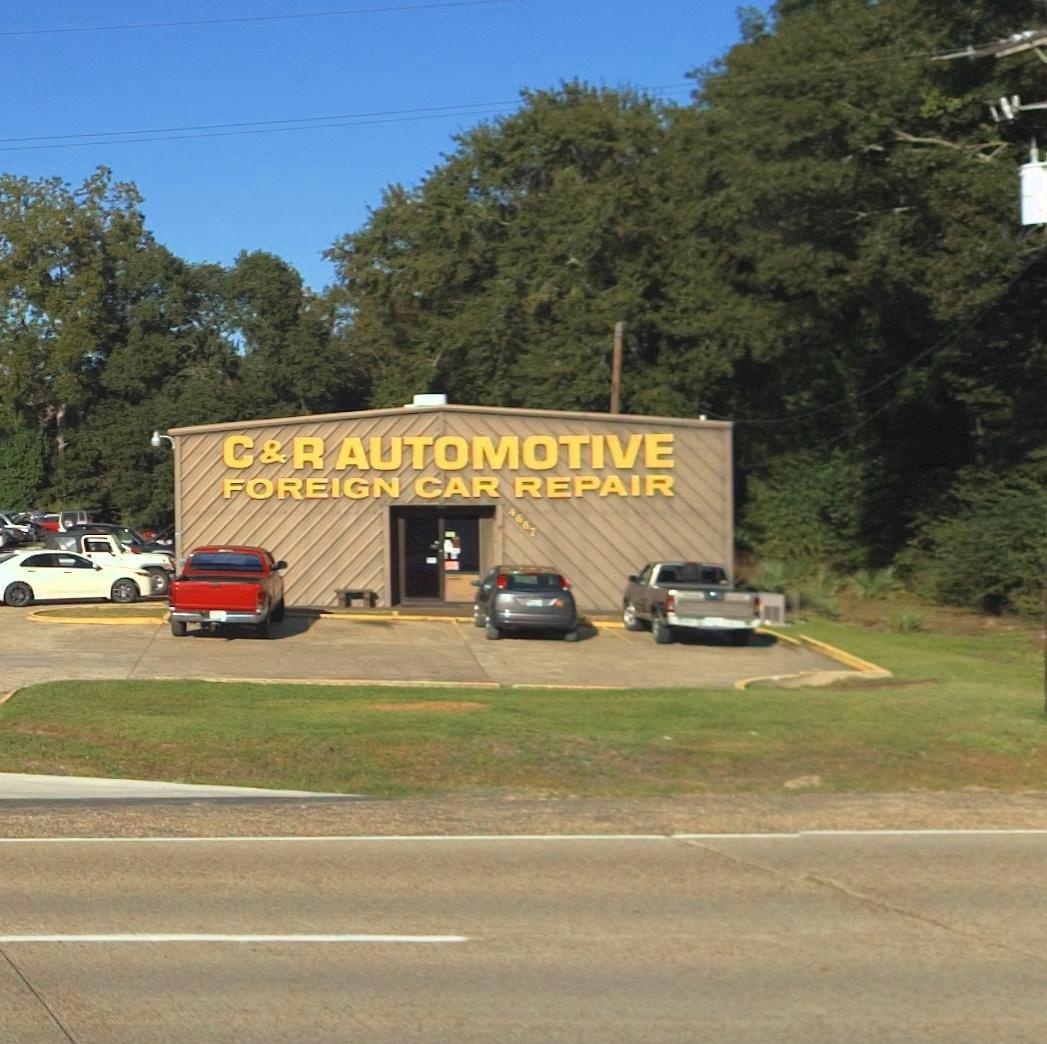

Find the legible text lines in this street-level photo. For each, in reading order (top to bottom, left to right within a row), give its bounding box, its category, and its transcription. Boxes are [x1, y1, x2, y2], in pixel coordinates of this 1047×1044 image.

[221, 430, 677, 471] BusinessName: C & R AUTOMIVE
[221, 471, 677, 501] None: FOREIGN CAR REPAIR
[505, 506, 538, 539] StreetNumber: 4667